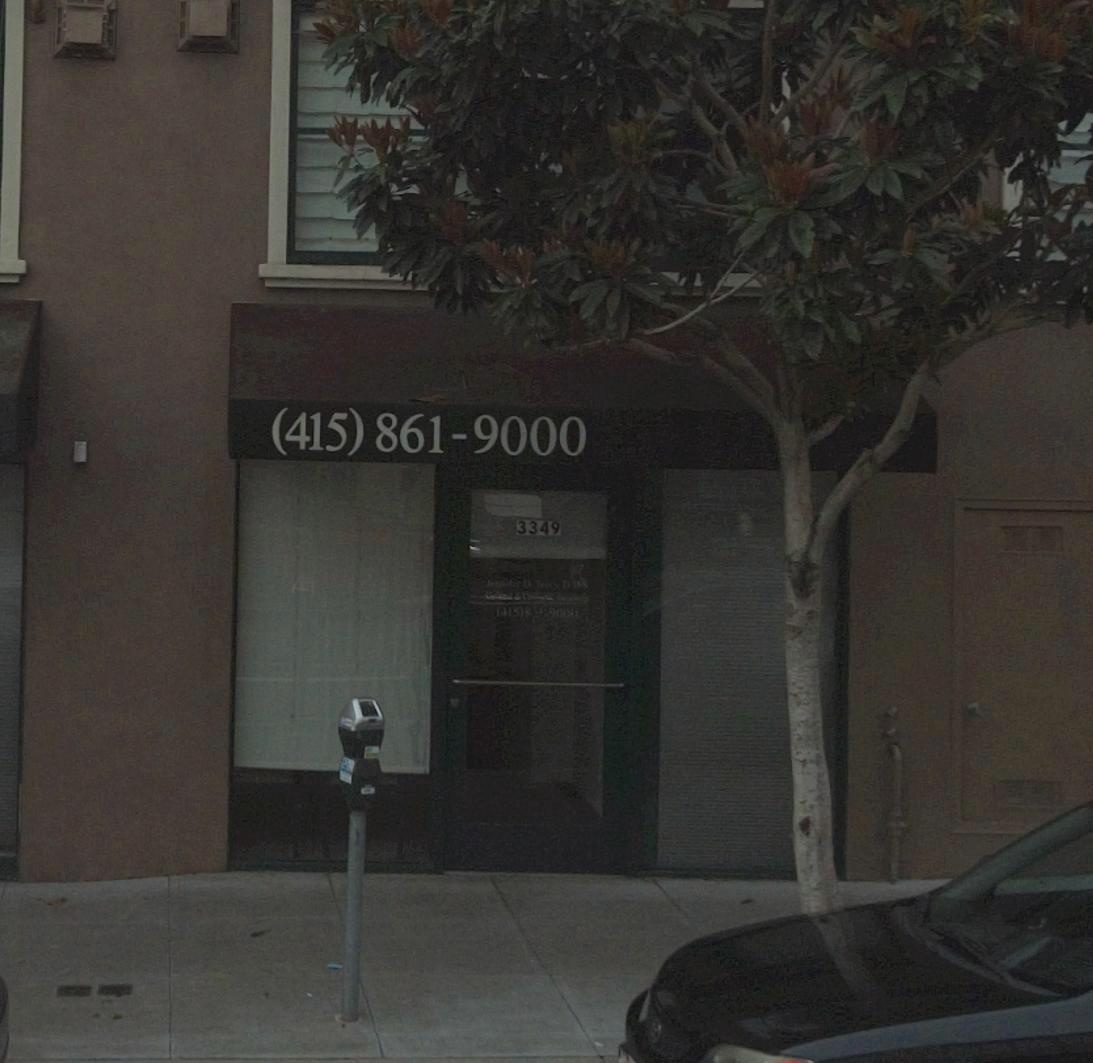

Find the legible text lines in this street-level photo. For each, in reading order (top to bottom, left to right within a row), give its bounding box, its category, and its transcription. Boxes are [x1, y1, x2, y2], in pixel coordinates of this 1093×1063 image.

[283, 410, 588, 458] None: 415) 861-9000
[516, 519, 561, 536] StreetNumber: 3349